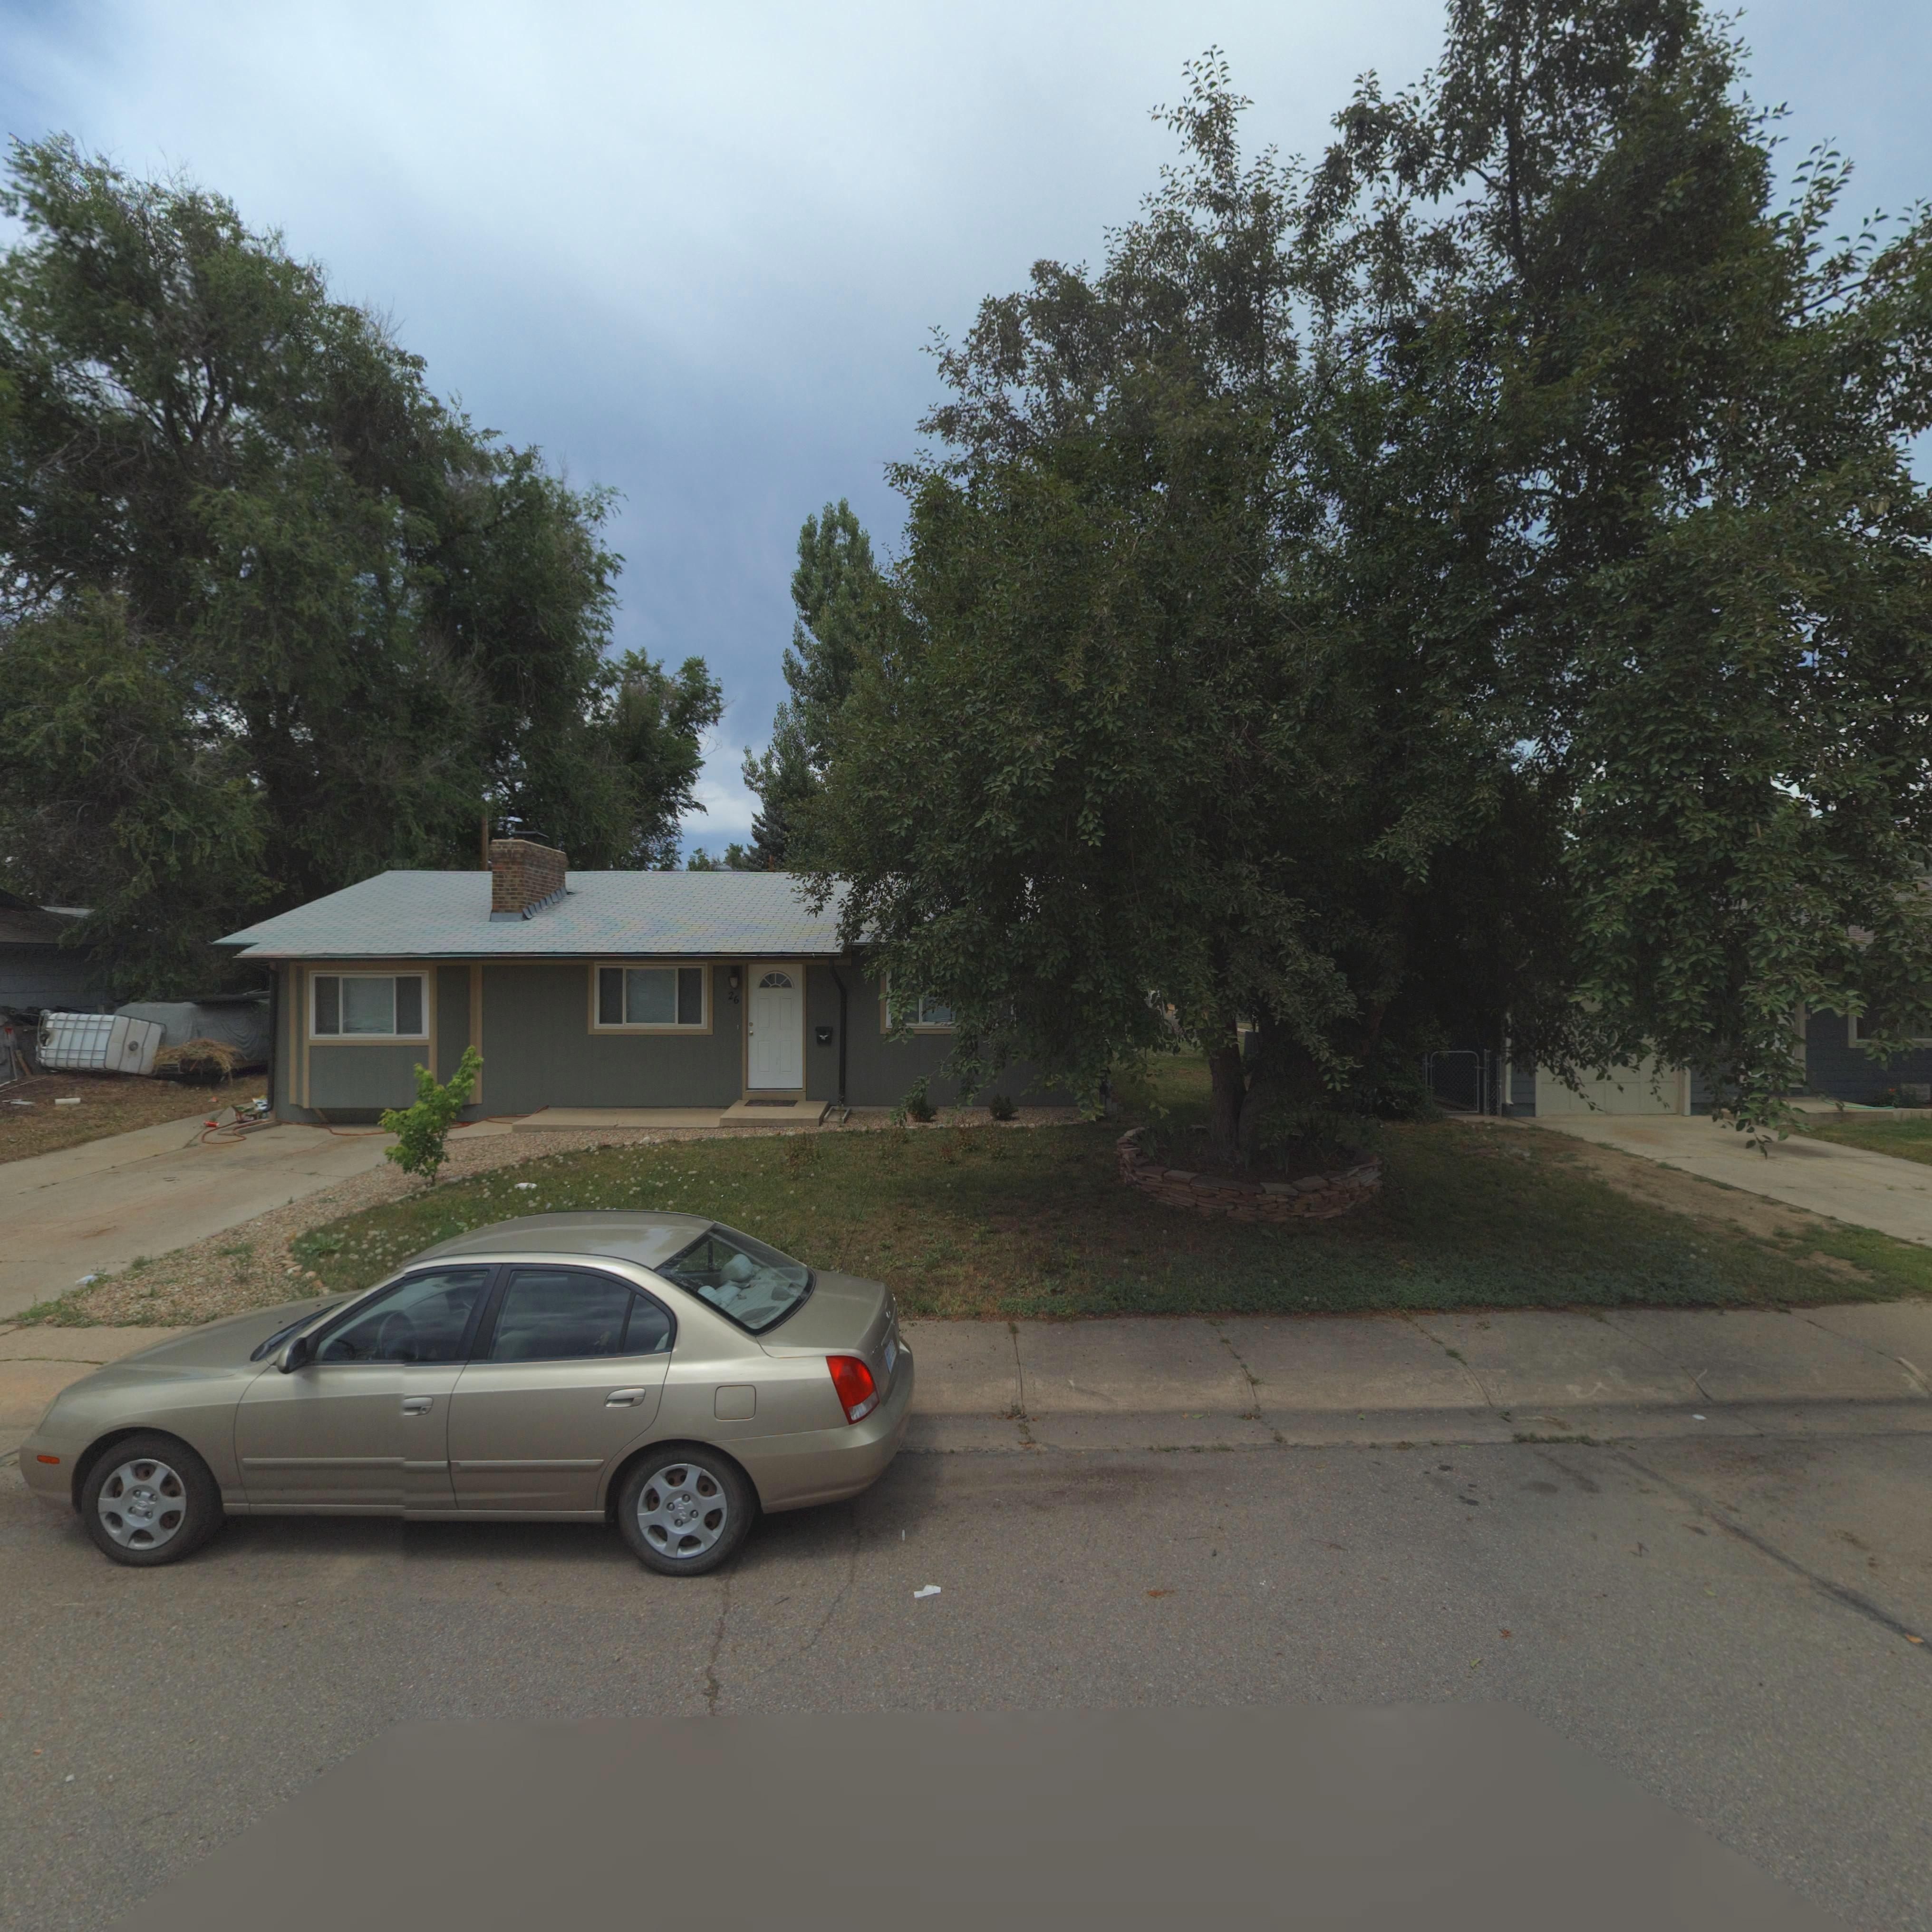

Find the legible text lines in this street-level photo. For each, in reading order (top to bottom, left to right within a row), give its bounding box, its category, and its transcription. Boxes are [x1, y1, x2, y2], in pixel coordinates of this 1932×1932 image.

[728, 992, 739, 1004] StreetNumber: 26